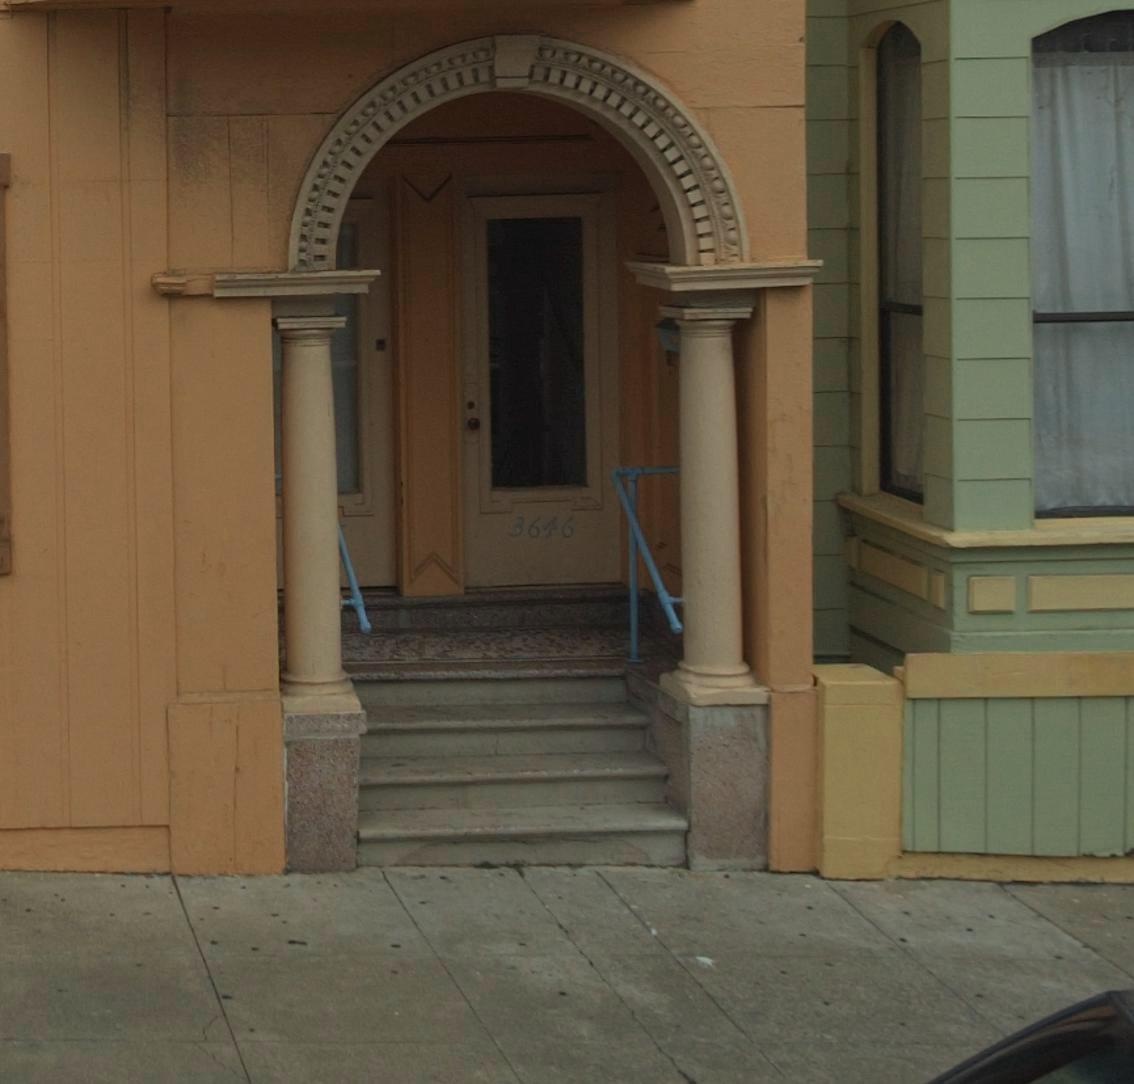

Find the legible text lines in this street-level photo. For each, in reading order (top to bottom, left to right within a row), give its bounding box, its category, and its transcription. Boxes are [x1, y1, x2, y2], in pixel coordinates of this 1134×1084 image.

[507, 513, 574, 541] StreetNumber: 3646